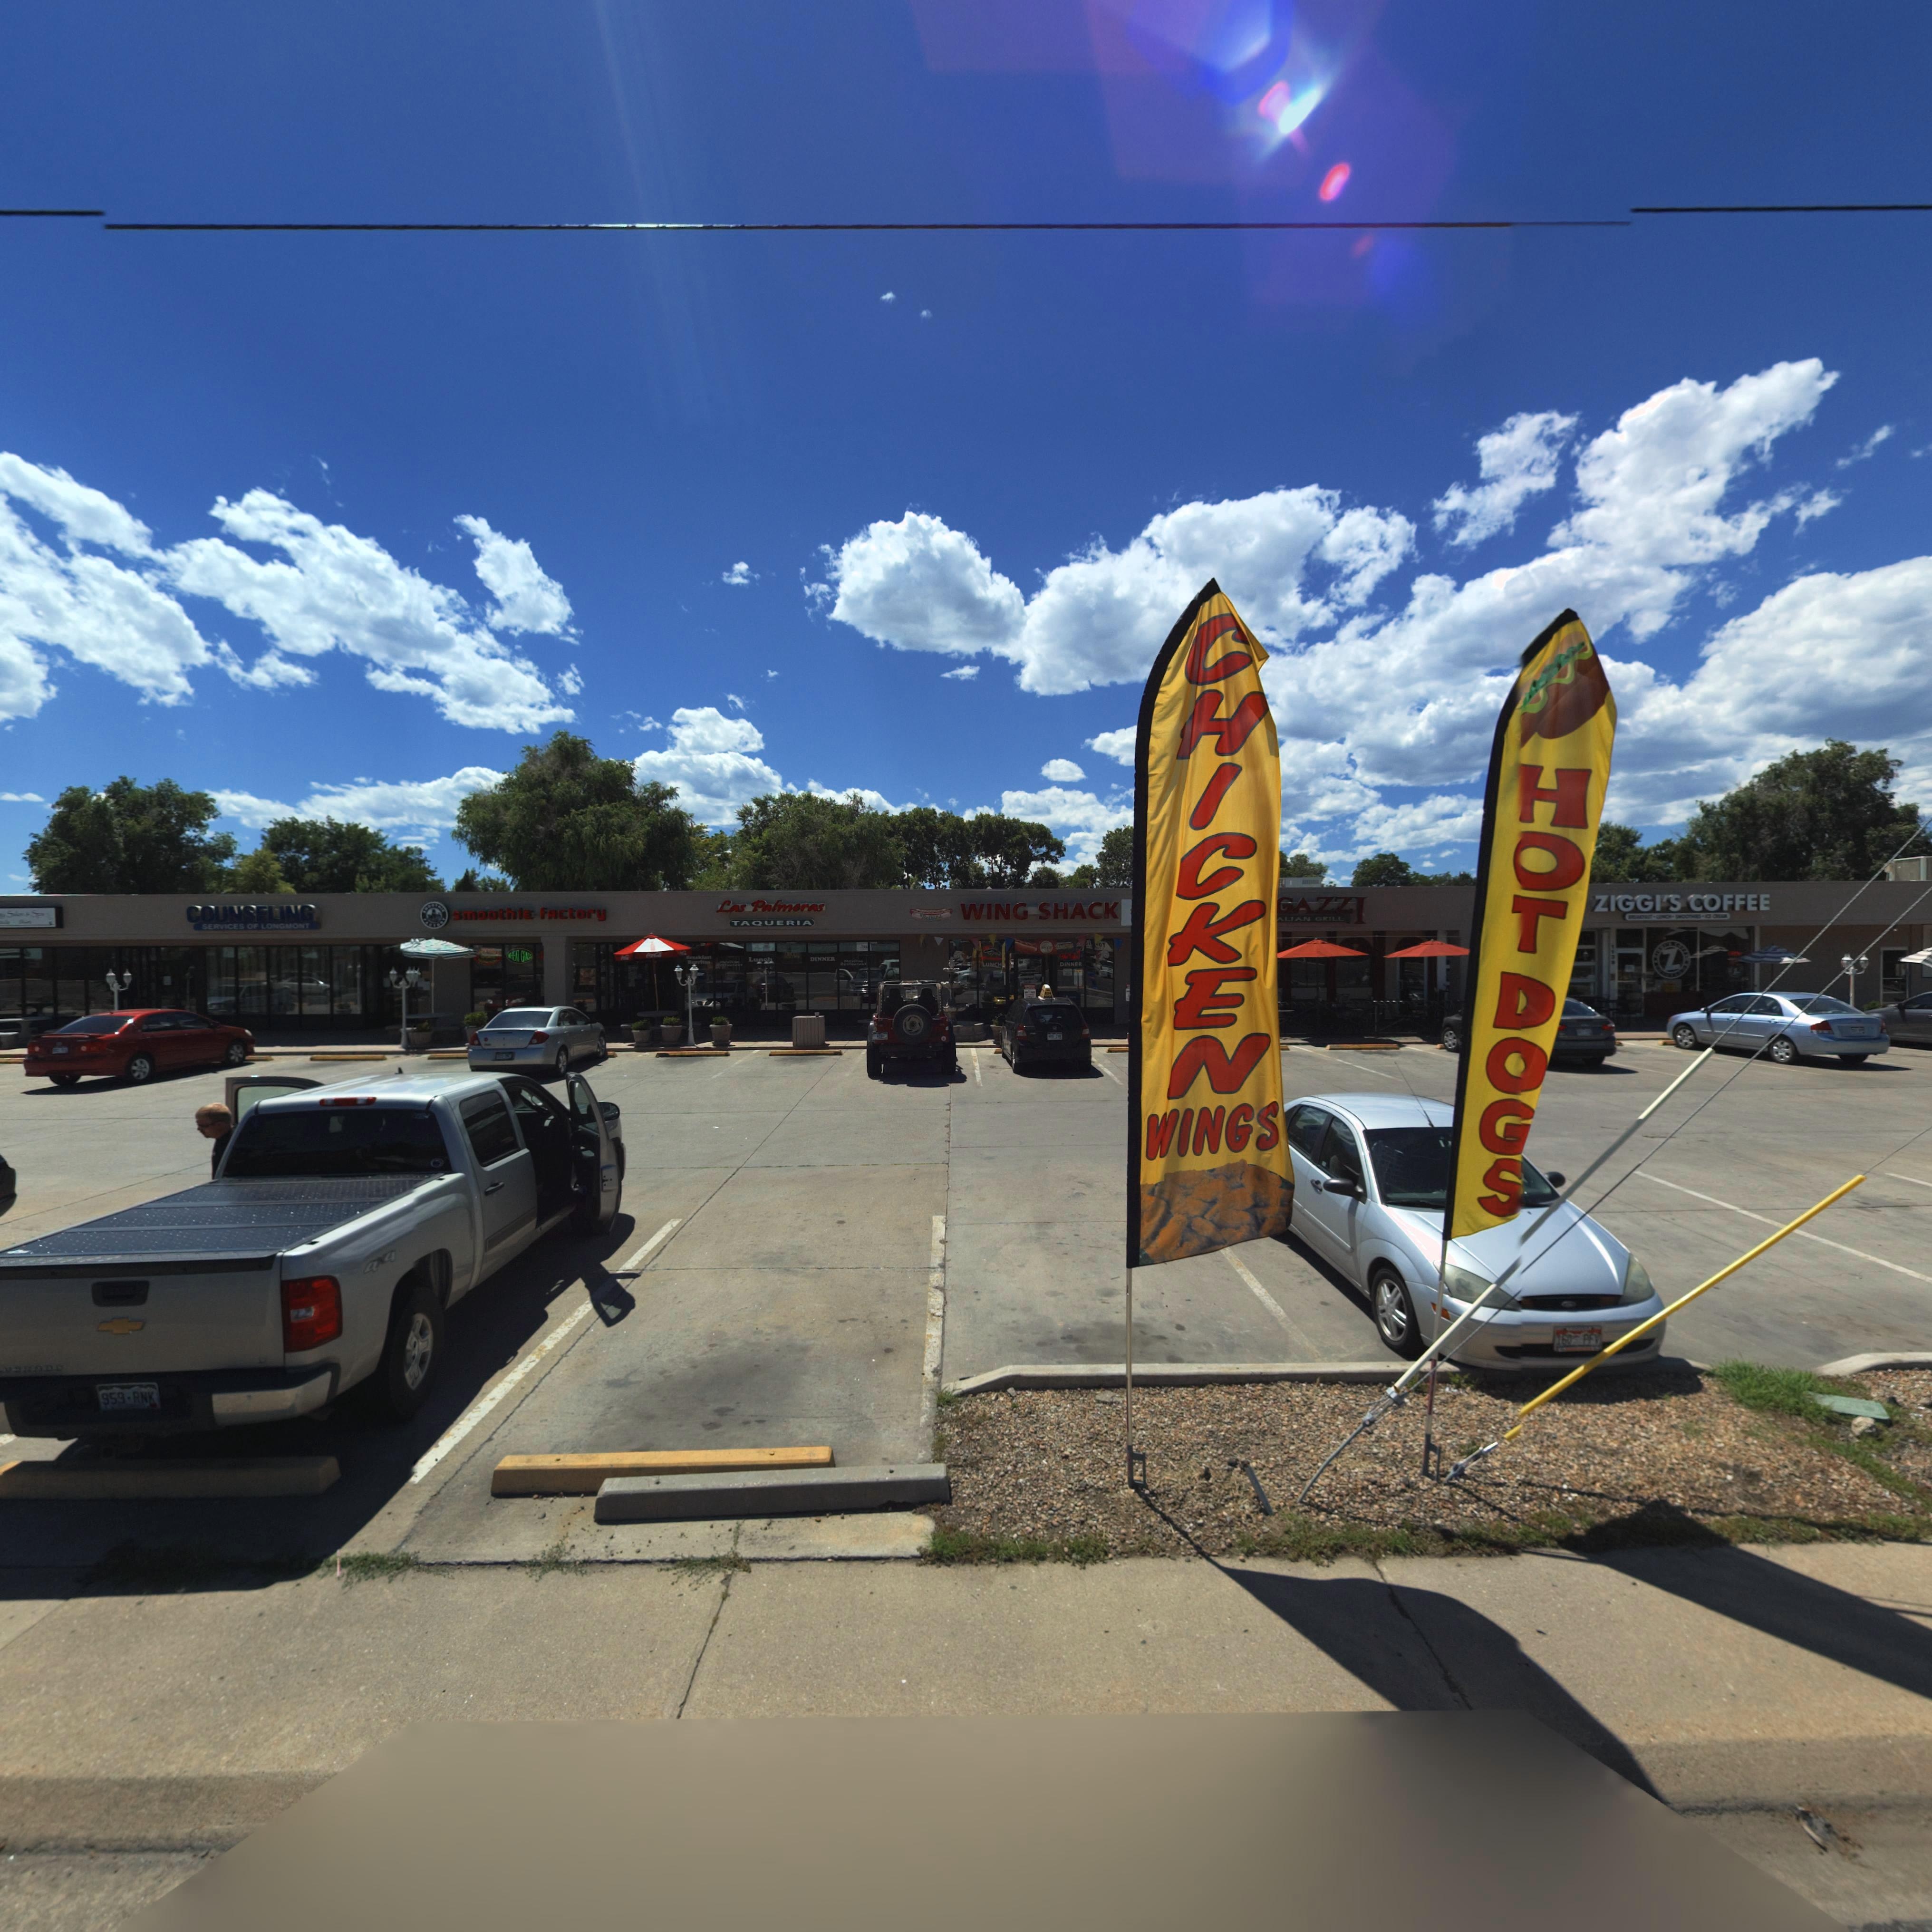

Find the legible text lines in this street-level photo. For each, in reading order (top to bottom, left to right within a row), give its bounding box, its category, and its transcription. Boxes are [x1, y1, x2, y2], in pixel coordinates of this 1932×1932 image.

[185, 903, 316, 924] BusinessName: COUNSELING
[202, 922, 310, 930] BusinessName: SERVICES OF LONGMONT
[422, 903, 445, 914] BusinessName: SMOOTHIE
[423, 917, 446, 927] BusinessName: FACTORY
[452, 905, 607, 922] BusinessName: smoothie factory
[715, 898, 825, 913] BusinessName: Las Palmeras
[731, 919, 813, 926] BusinessName: TAQUERIA
[919, 912, 942, 920] BusinessName: Nathan's
[960, 900, 1119, 921] BusinessName: WING SHACK
[1276, 916, 1344, 922] BusinessName: ALIAN GRILL
[1277, 896, 1368, 925] BusinessName: GAZZI
[1593, 894, 1770, 912] BusinessName: ZIGGI'SCOFFEE
[1610, 943, 1615, 965] StreetNumber: 113*